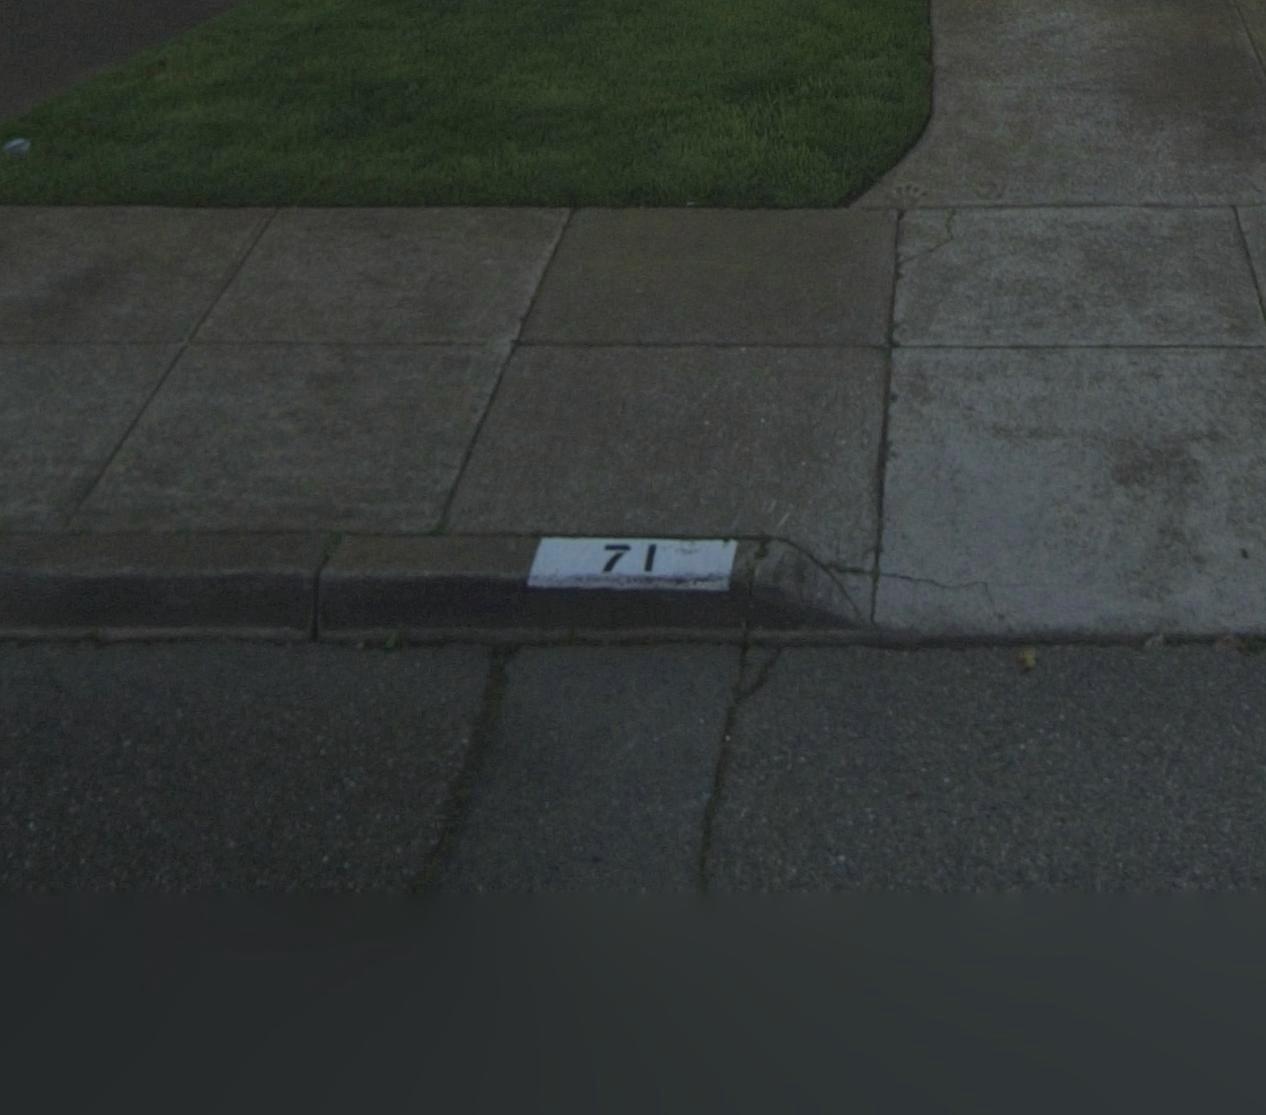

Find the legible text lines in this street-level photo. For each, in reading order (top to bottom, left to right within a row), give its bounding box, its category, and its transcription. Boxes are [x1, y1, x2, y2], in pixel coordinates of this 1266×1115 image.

[598, 540, 662, 576] StreetNumber: 71